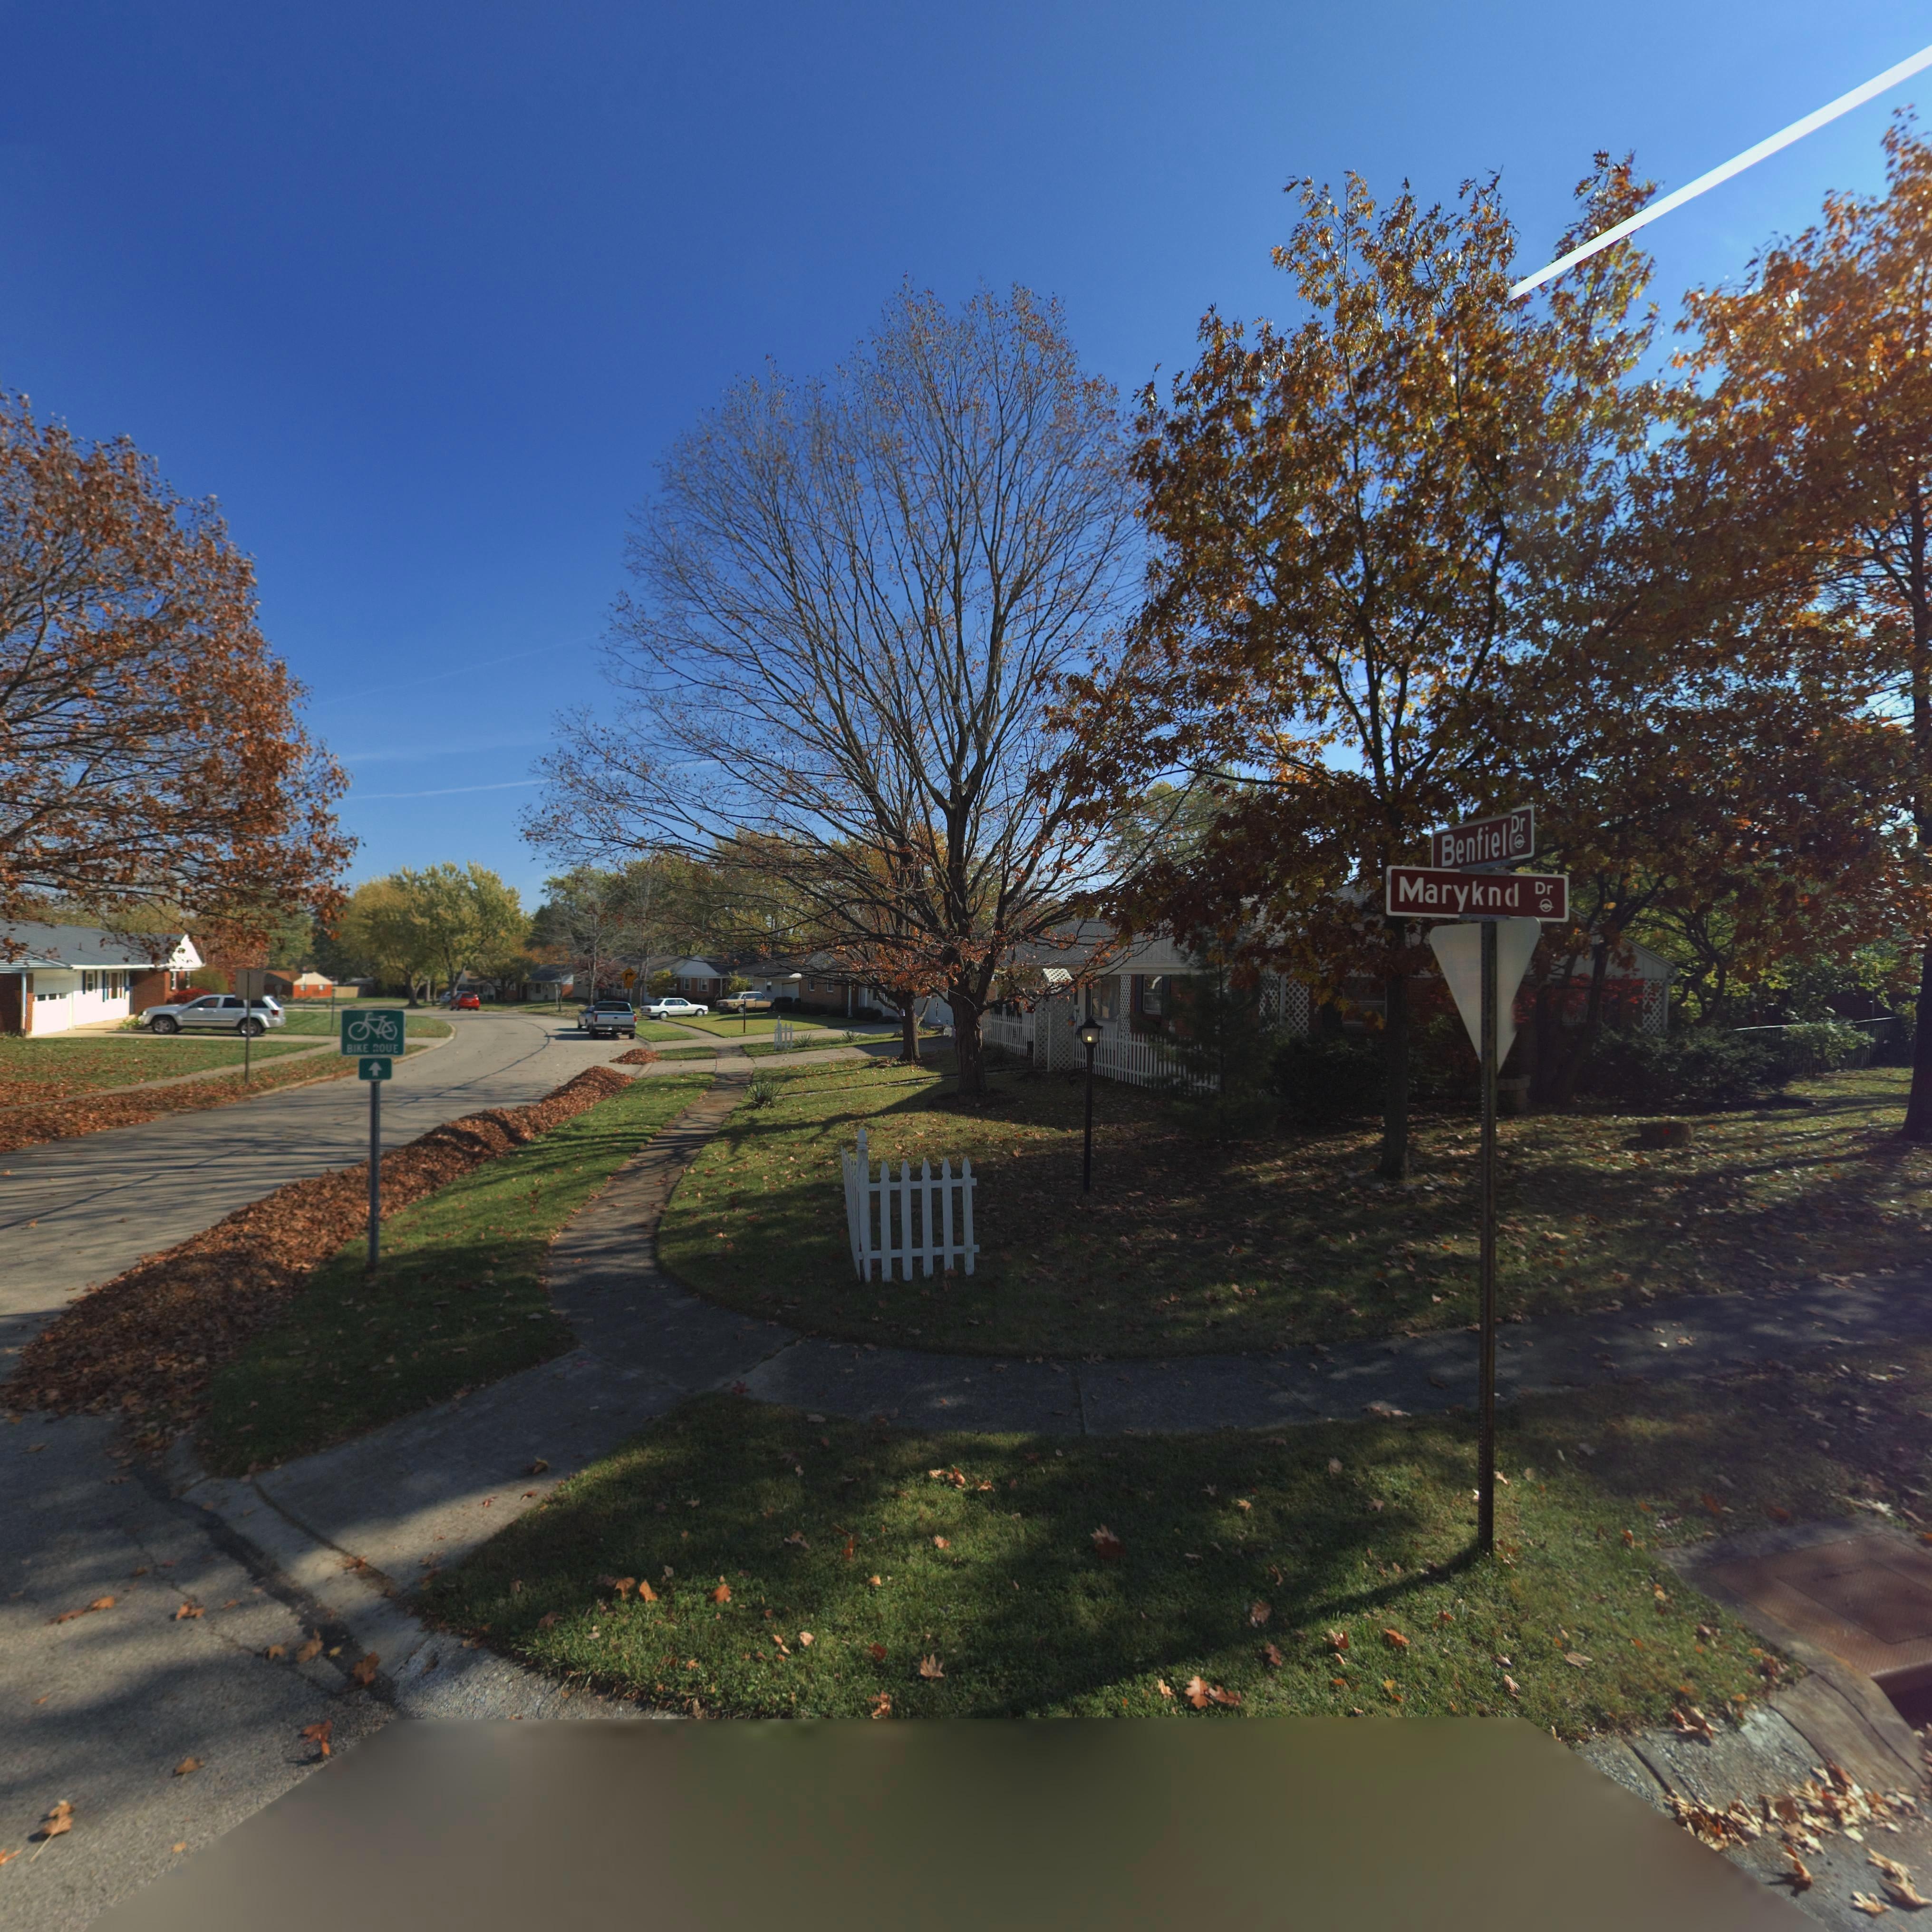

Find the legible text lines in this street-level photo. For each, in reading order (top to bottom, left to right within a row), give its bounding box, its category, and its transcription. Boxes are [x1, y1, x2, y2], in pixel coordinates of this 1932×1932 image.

[1441, 811, 1527, 869] StreetName: Benfiel*Dr
[1397, 873, 1556, 914] StreetName: Maryknd Dr
[346, 1043, 400, 1054] None: BIKE ROUE